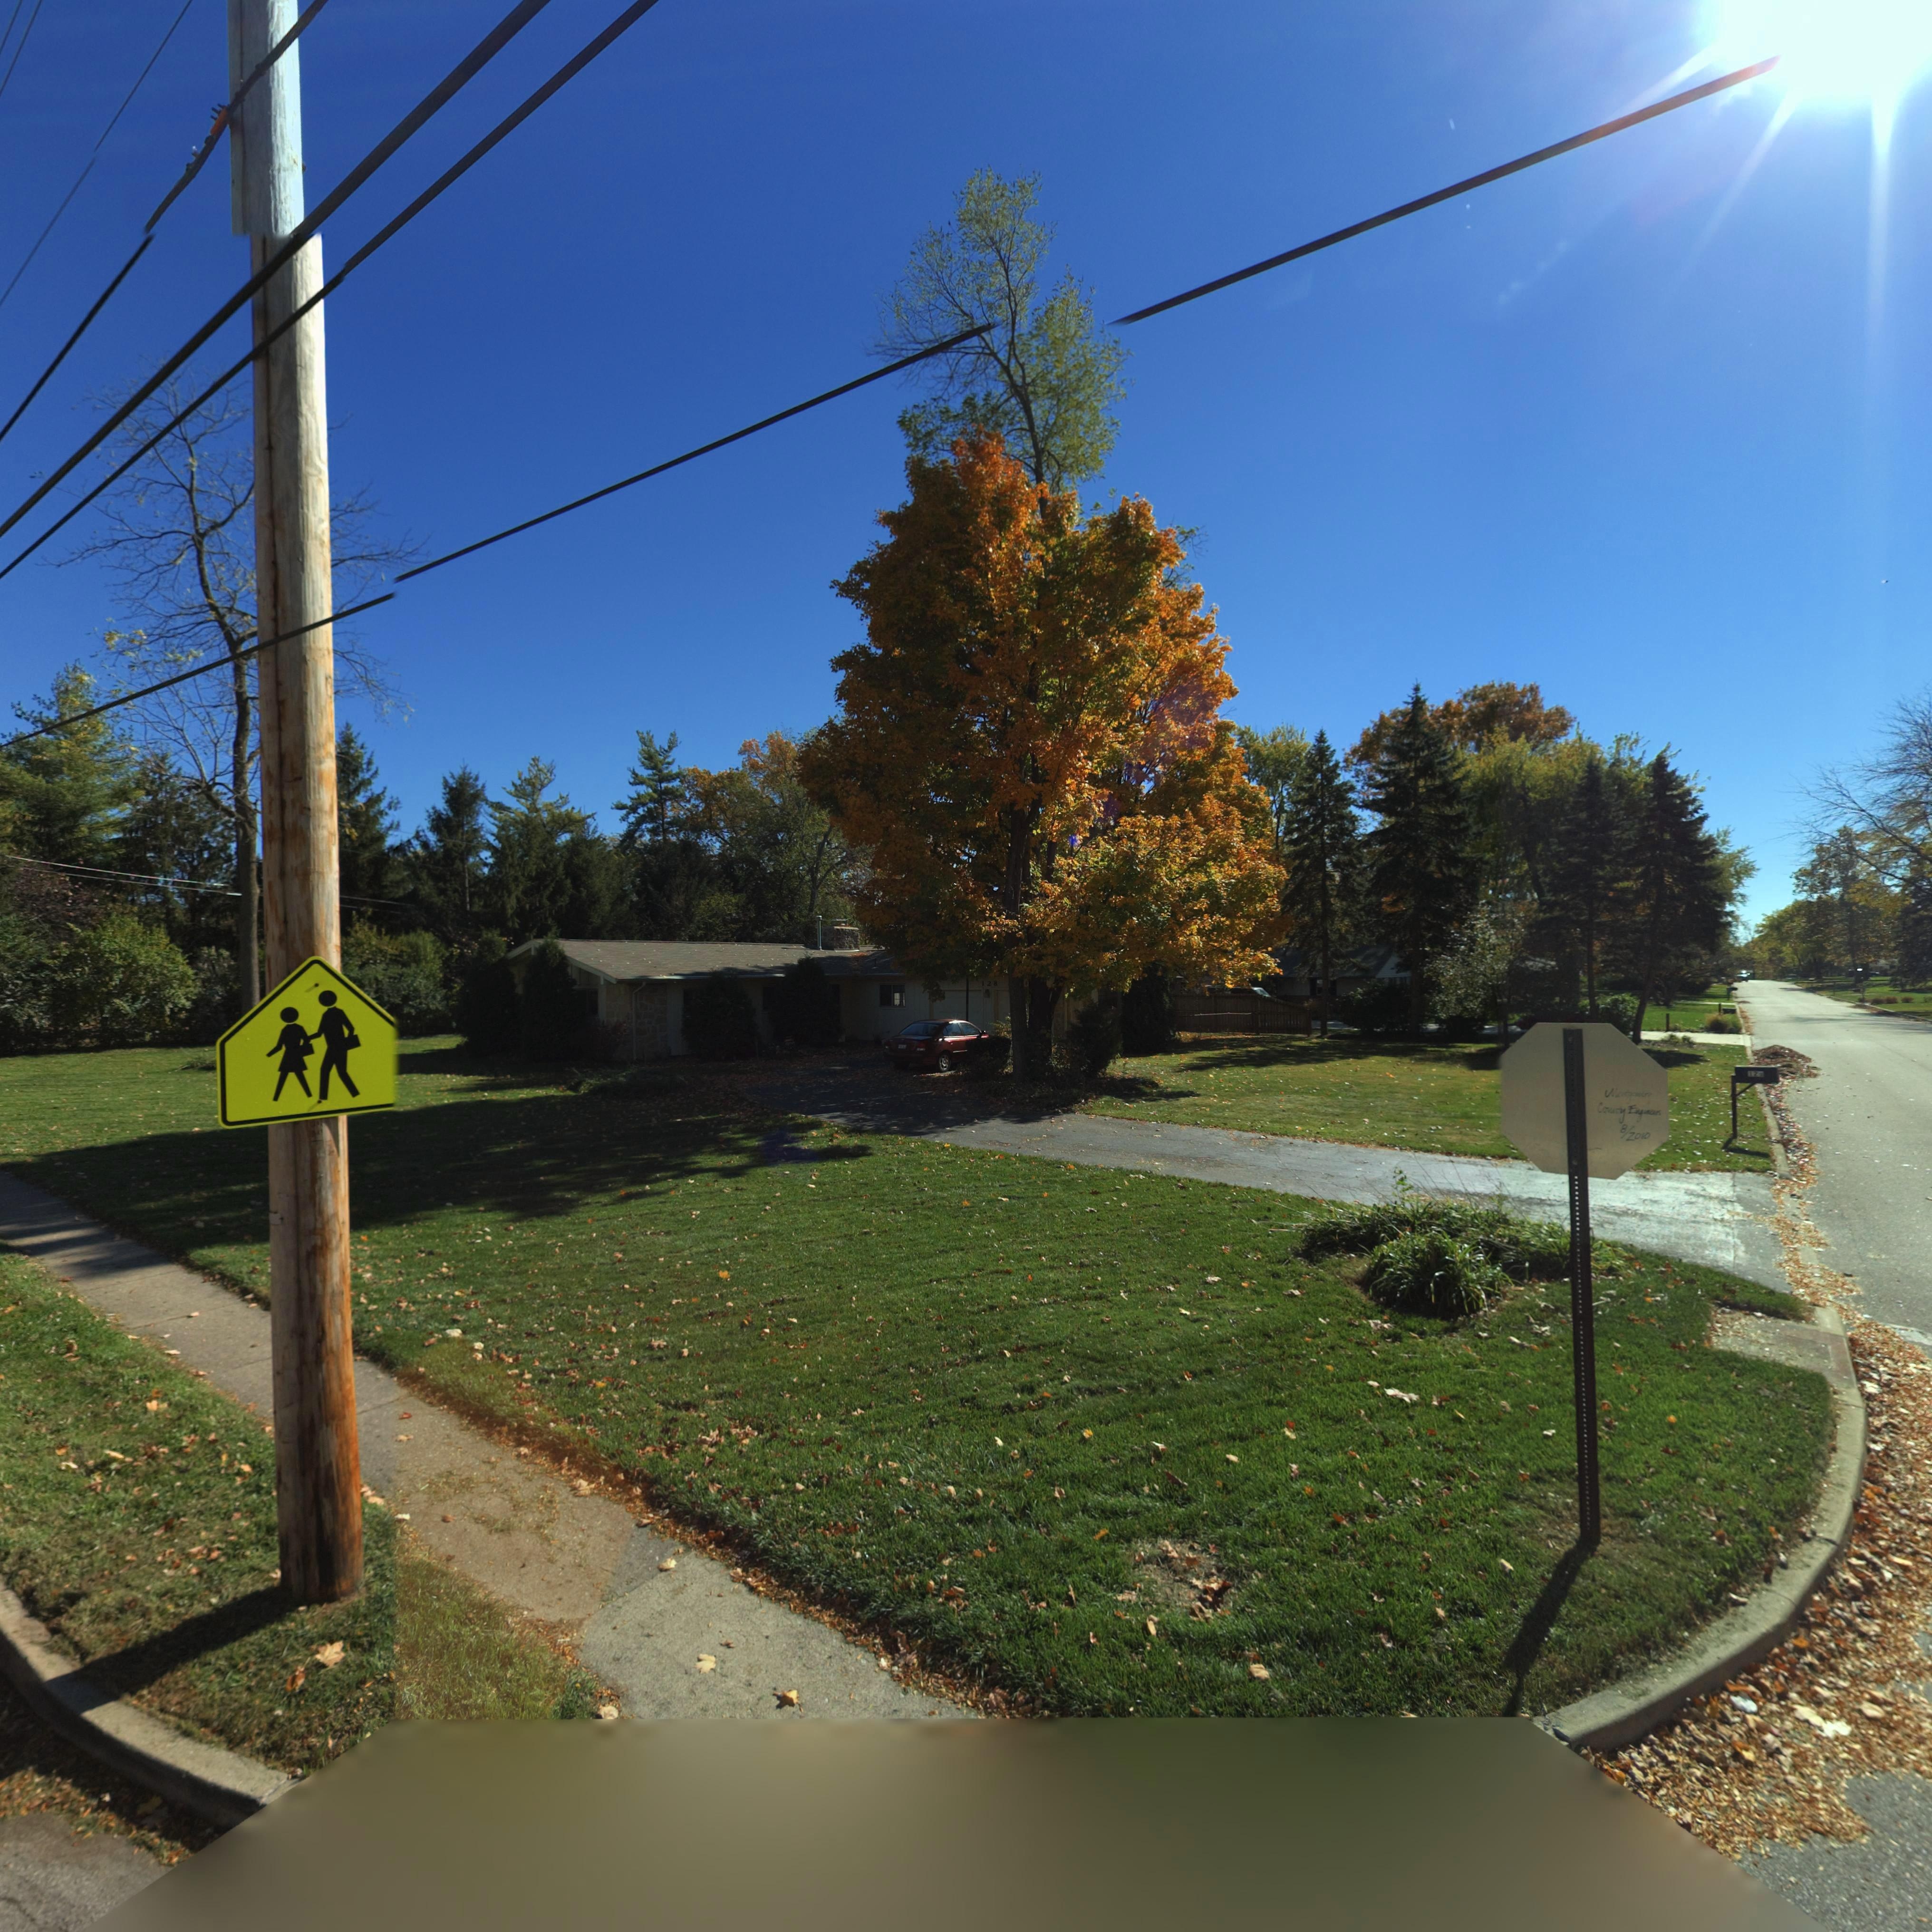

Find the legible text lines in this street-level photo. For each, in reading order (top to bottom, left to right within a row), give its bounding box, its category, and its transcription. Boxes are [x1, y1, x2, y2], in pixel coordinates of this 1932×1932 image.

[1748, 1071, 1763, 1078] StreetNumber: 12*
[1604, 1088, 1614, 1099] None: V
[1596, 1101, 1626, 1124] None: Co***y
[1627, 1104, 1662, 1124] None: Ey****
[1619, 1123, 1629, 1134] None: 8
[1624, 1131, 1652, 1142] None: 2010